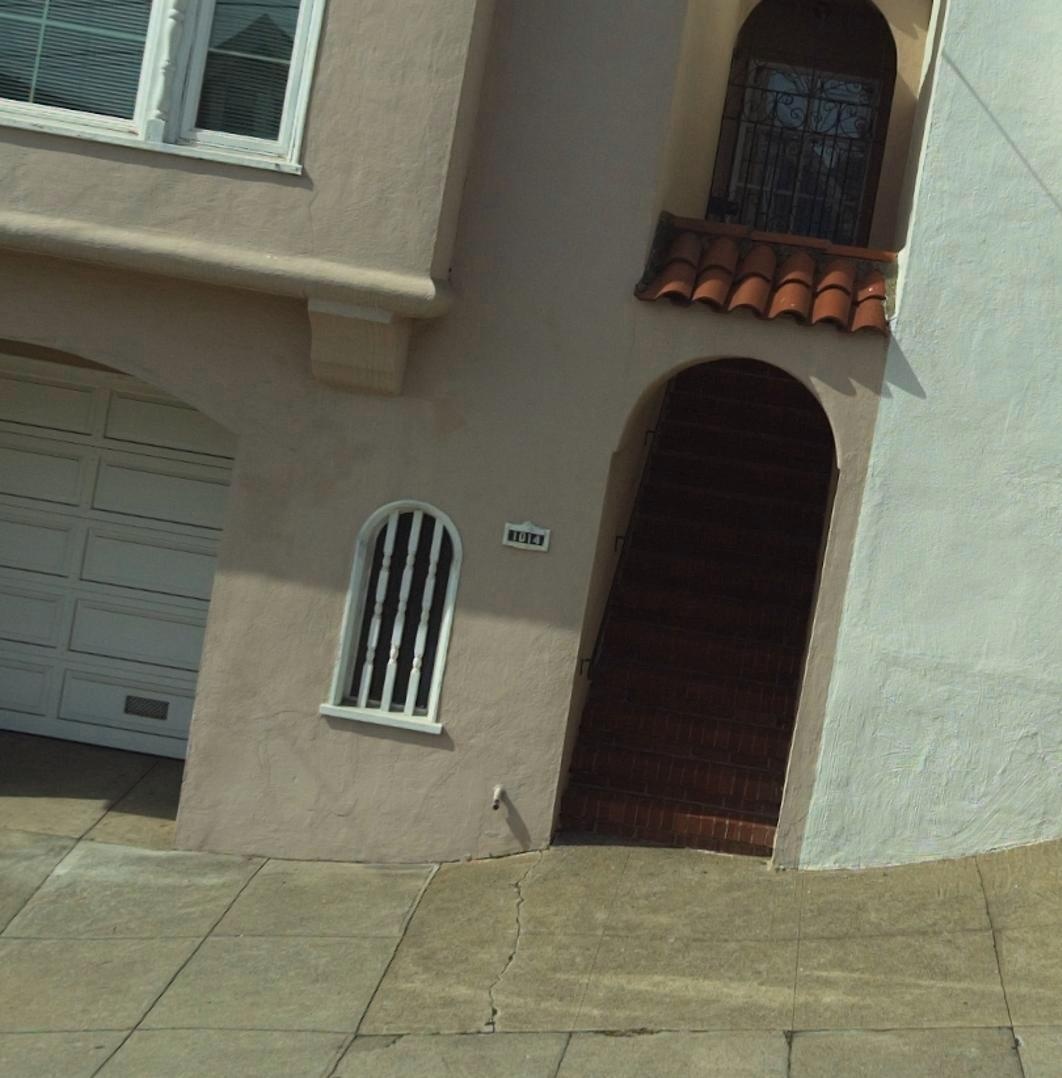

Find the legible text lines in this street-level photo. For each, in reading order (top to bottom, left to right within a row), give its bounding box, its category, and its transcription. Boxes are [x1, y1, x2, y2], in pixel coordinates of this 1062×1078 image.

[511, 529, 542, 546] StreetNumber: 1014